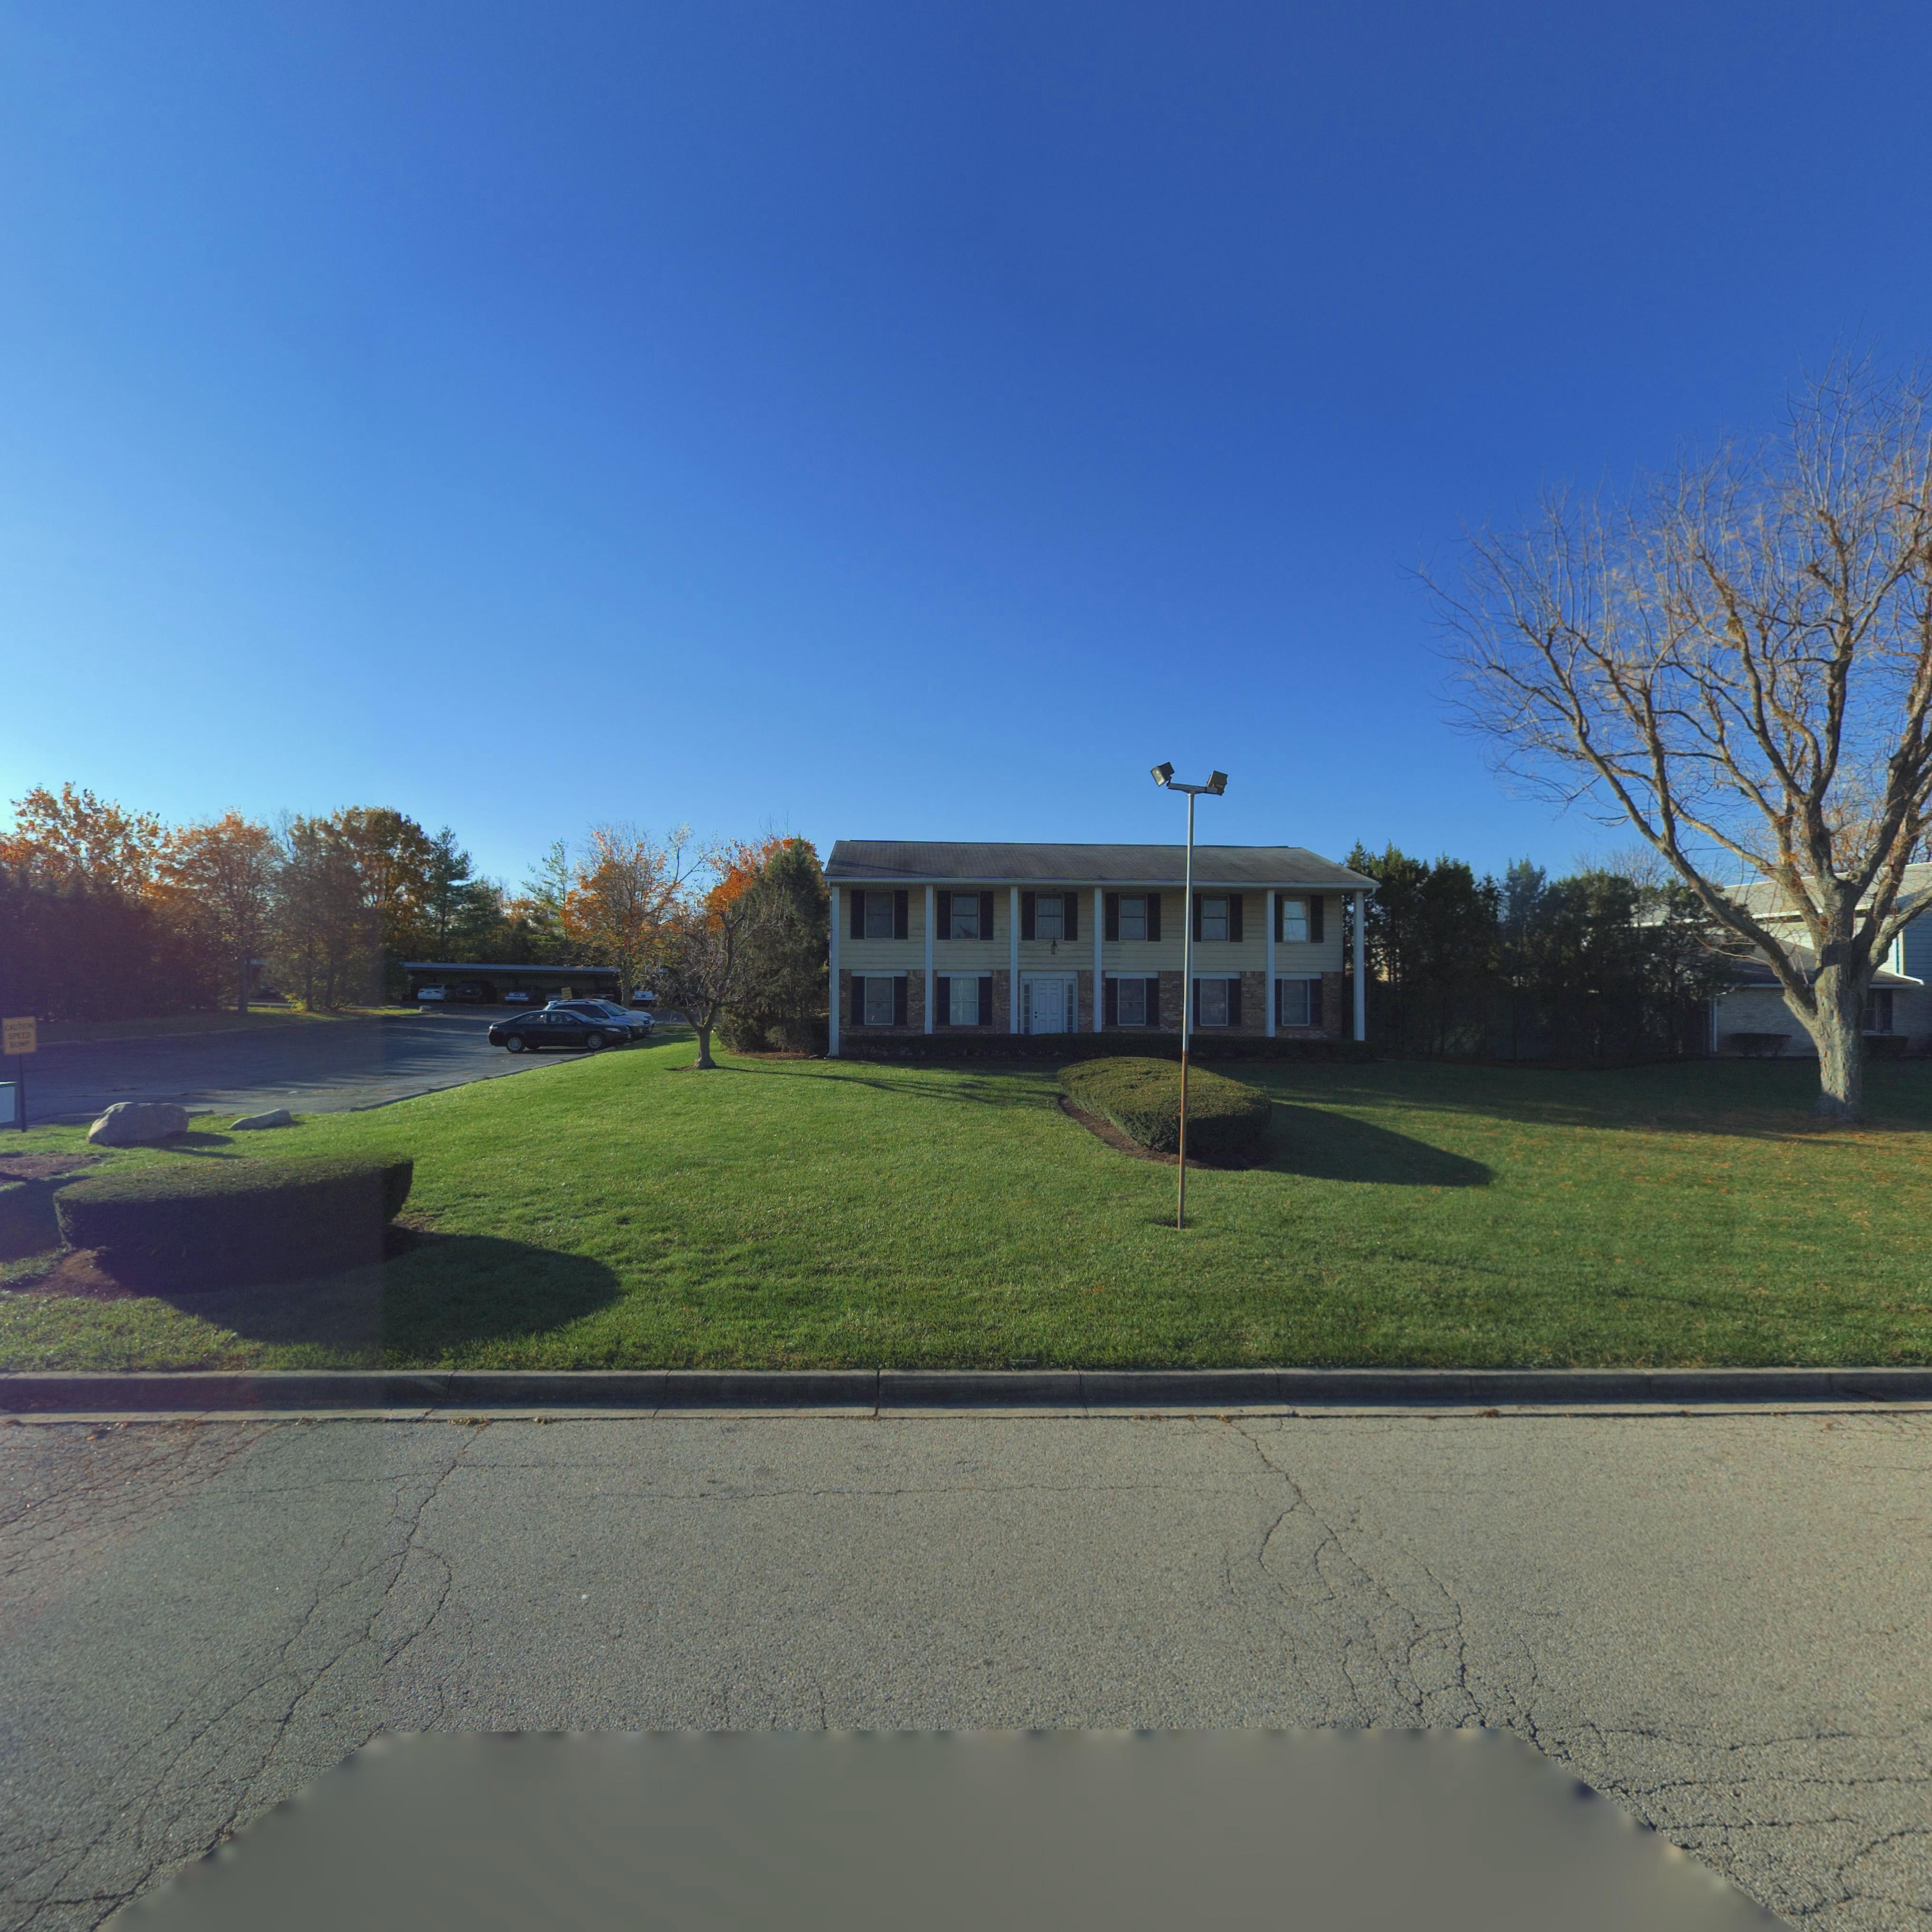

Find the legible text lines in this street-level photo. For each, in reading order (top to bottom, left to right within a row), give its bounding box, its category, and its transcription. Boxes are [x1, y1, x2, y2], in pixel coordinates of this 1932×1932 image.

[1081, 991, 1092, 998] StreetNumber: 55